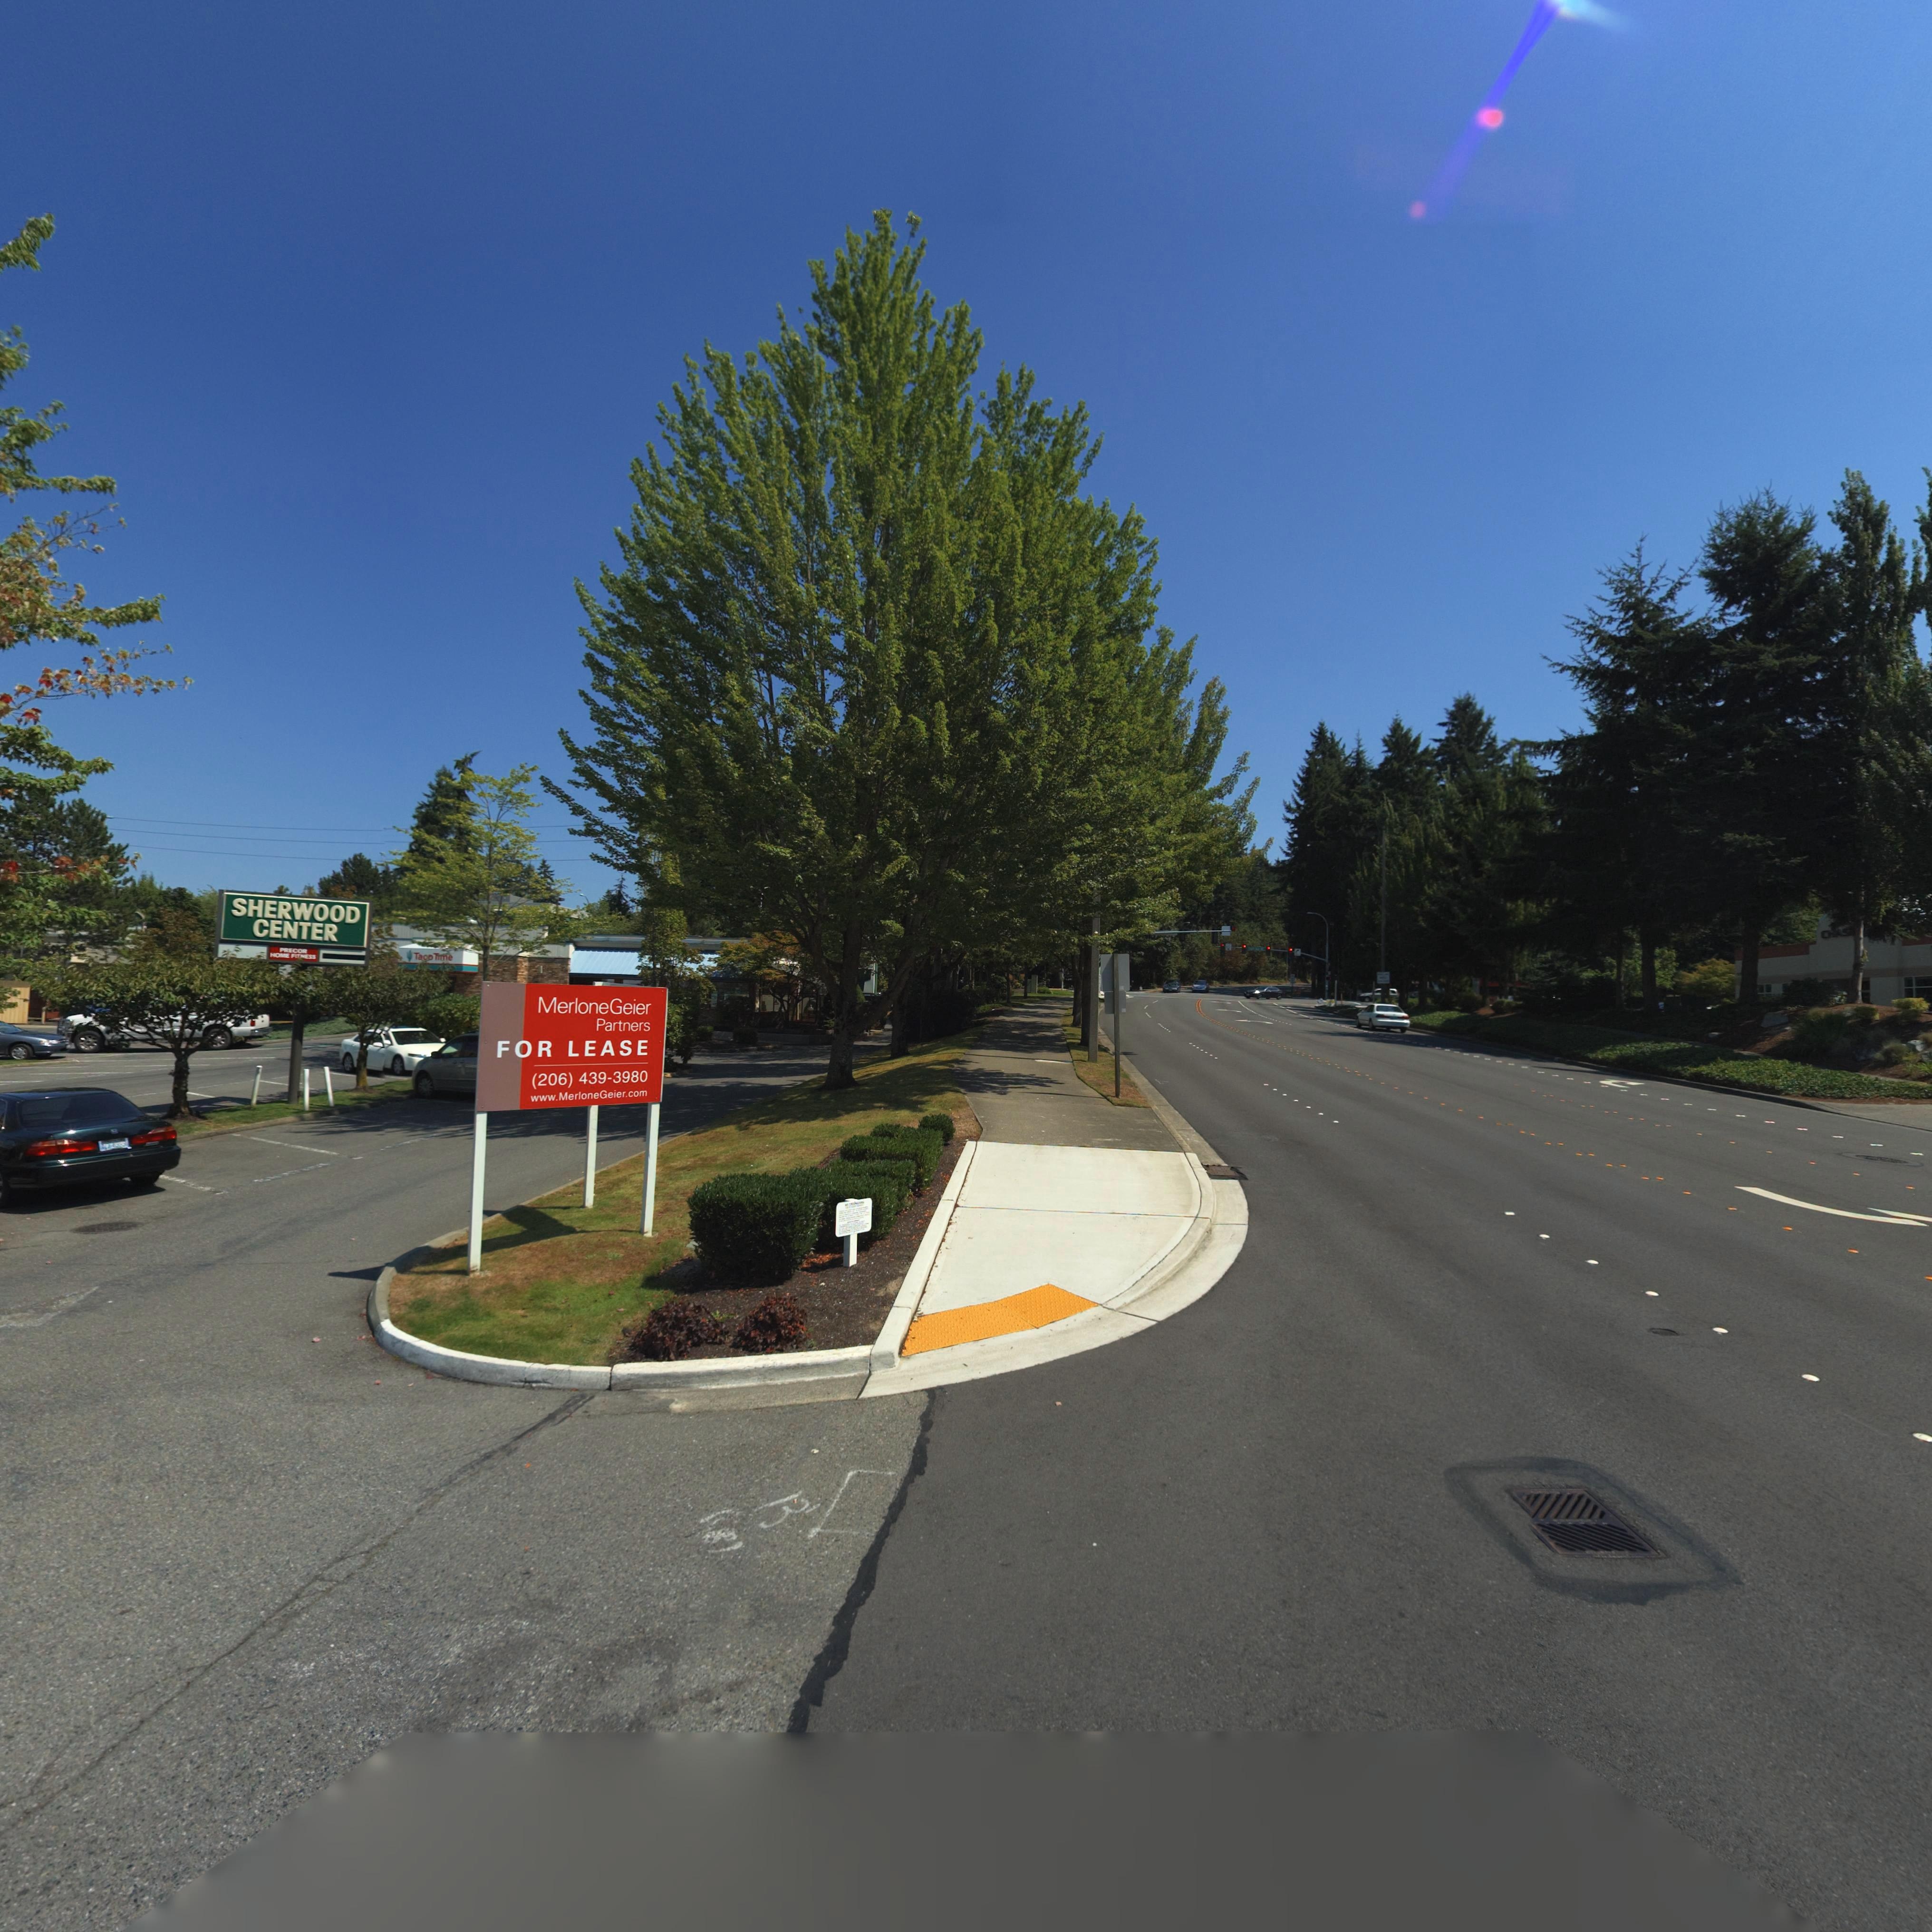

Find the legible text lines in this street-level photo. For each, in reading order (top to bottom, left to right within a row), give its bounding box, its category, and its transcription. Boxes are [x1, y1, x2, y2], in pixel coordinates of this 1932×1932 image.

[280, 947, 308, 953] BusinessName: PRECOR
[269, 951, 317, 959] BusinessName: HOME FITNESS
[414, 952, 453, 961] BusinessName: TacoTime